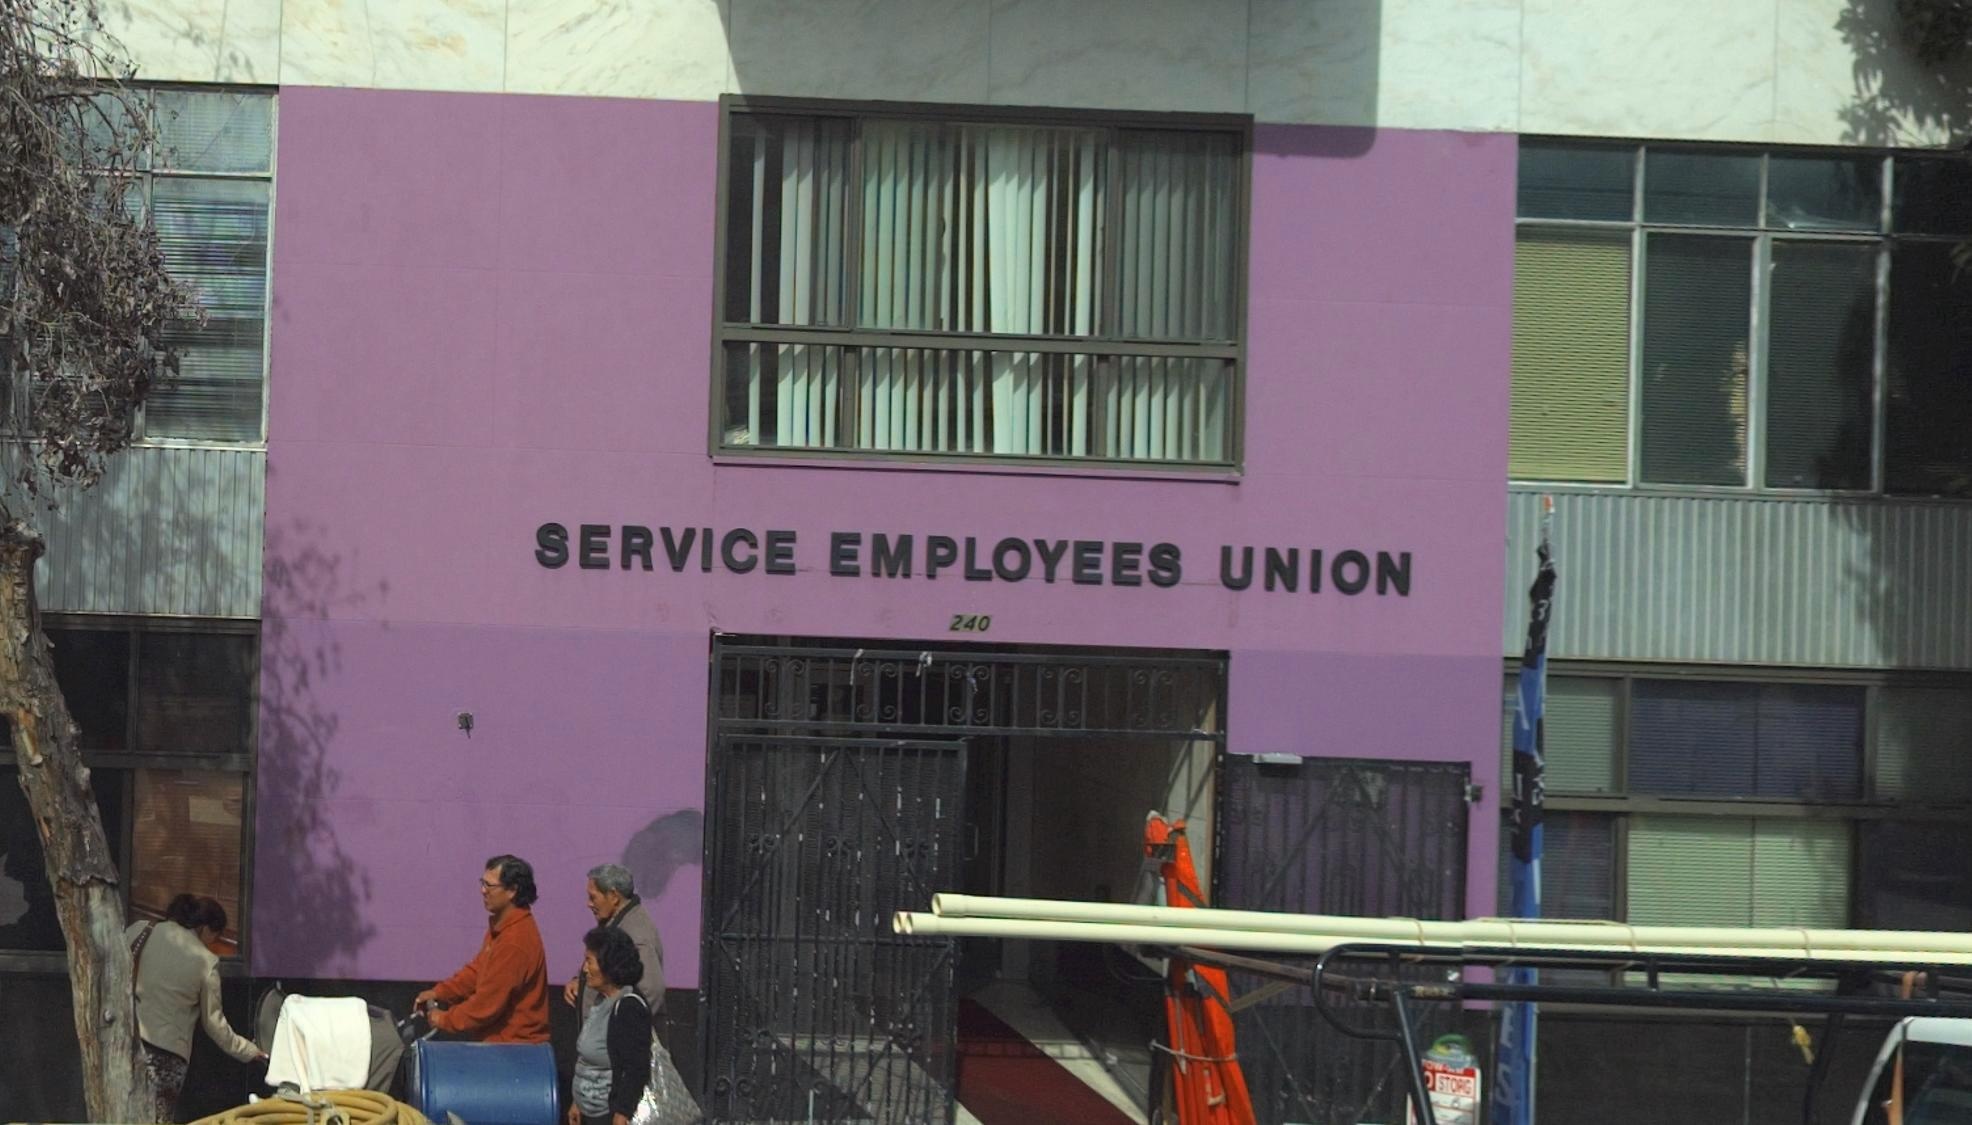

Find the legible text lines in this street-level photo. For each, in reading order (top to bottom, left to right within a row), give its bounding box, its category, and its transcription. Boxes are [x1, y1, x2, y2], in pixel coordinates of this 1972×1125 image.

[532, 519, 1414, 600] BusinessName: SERVICE EMPLOYEES UNION
[946, 611, 997, 635] StreetNumber: 240
[1436, 1072, 1474, 1099] None: STOPG